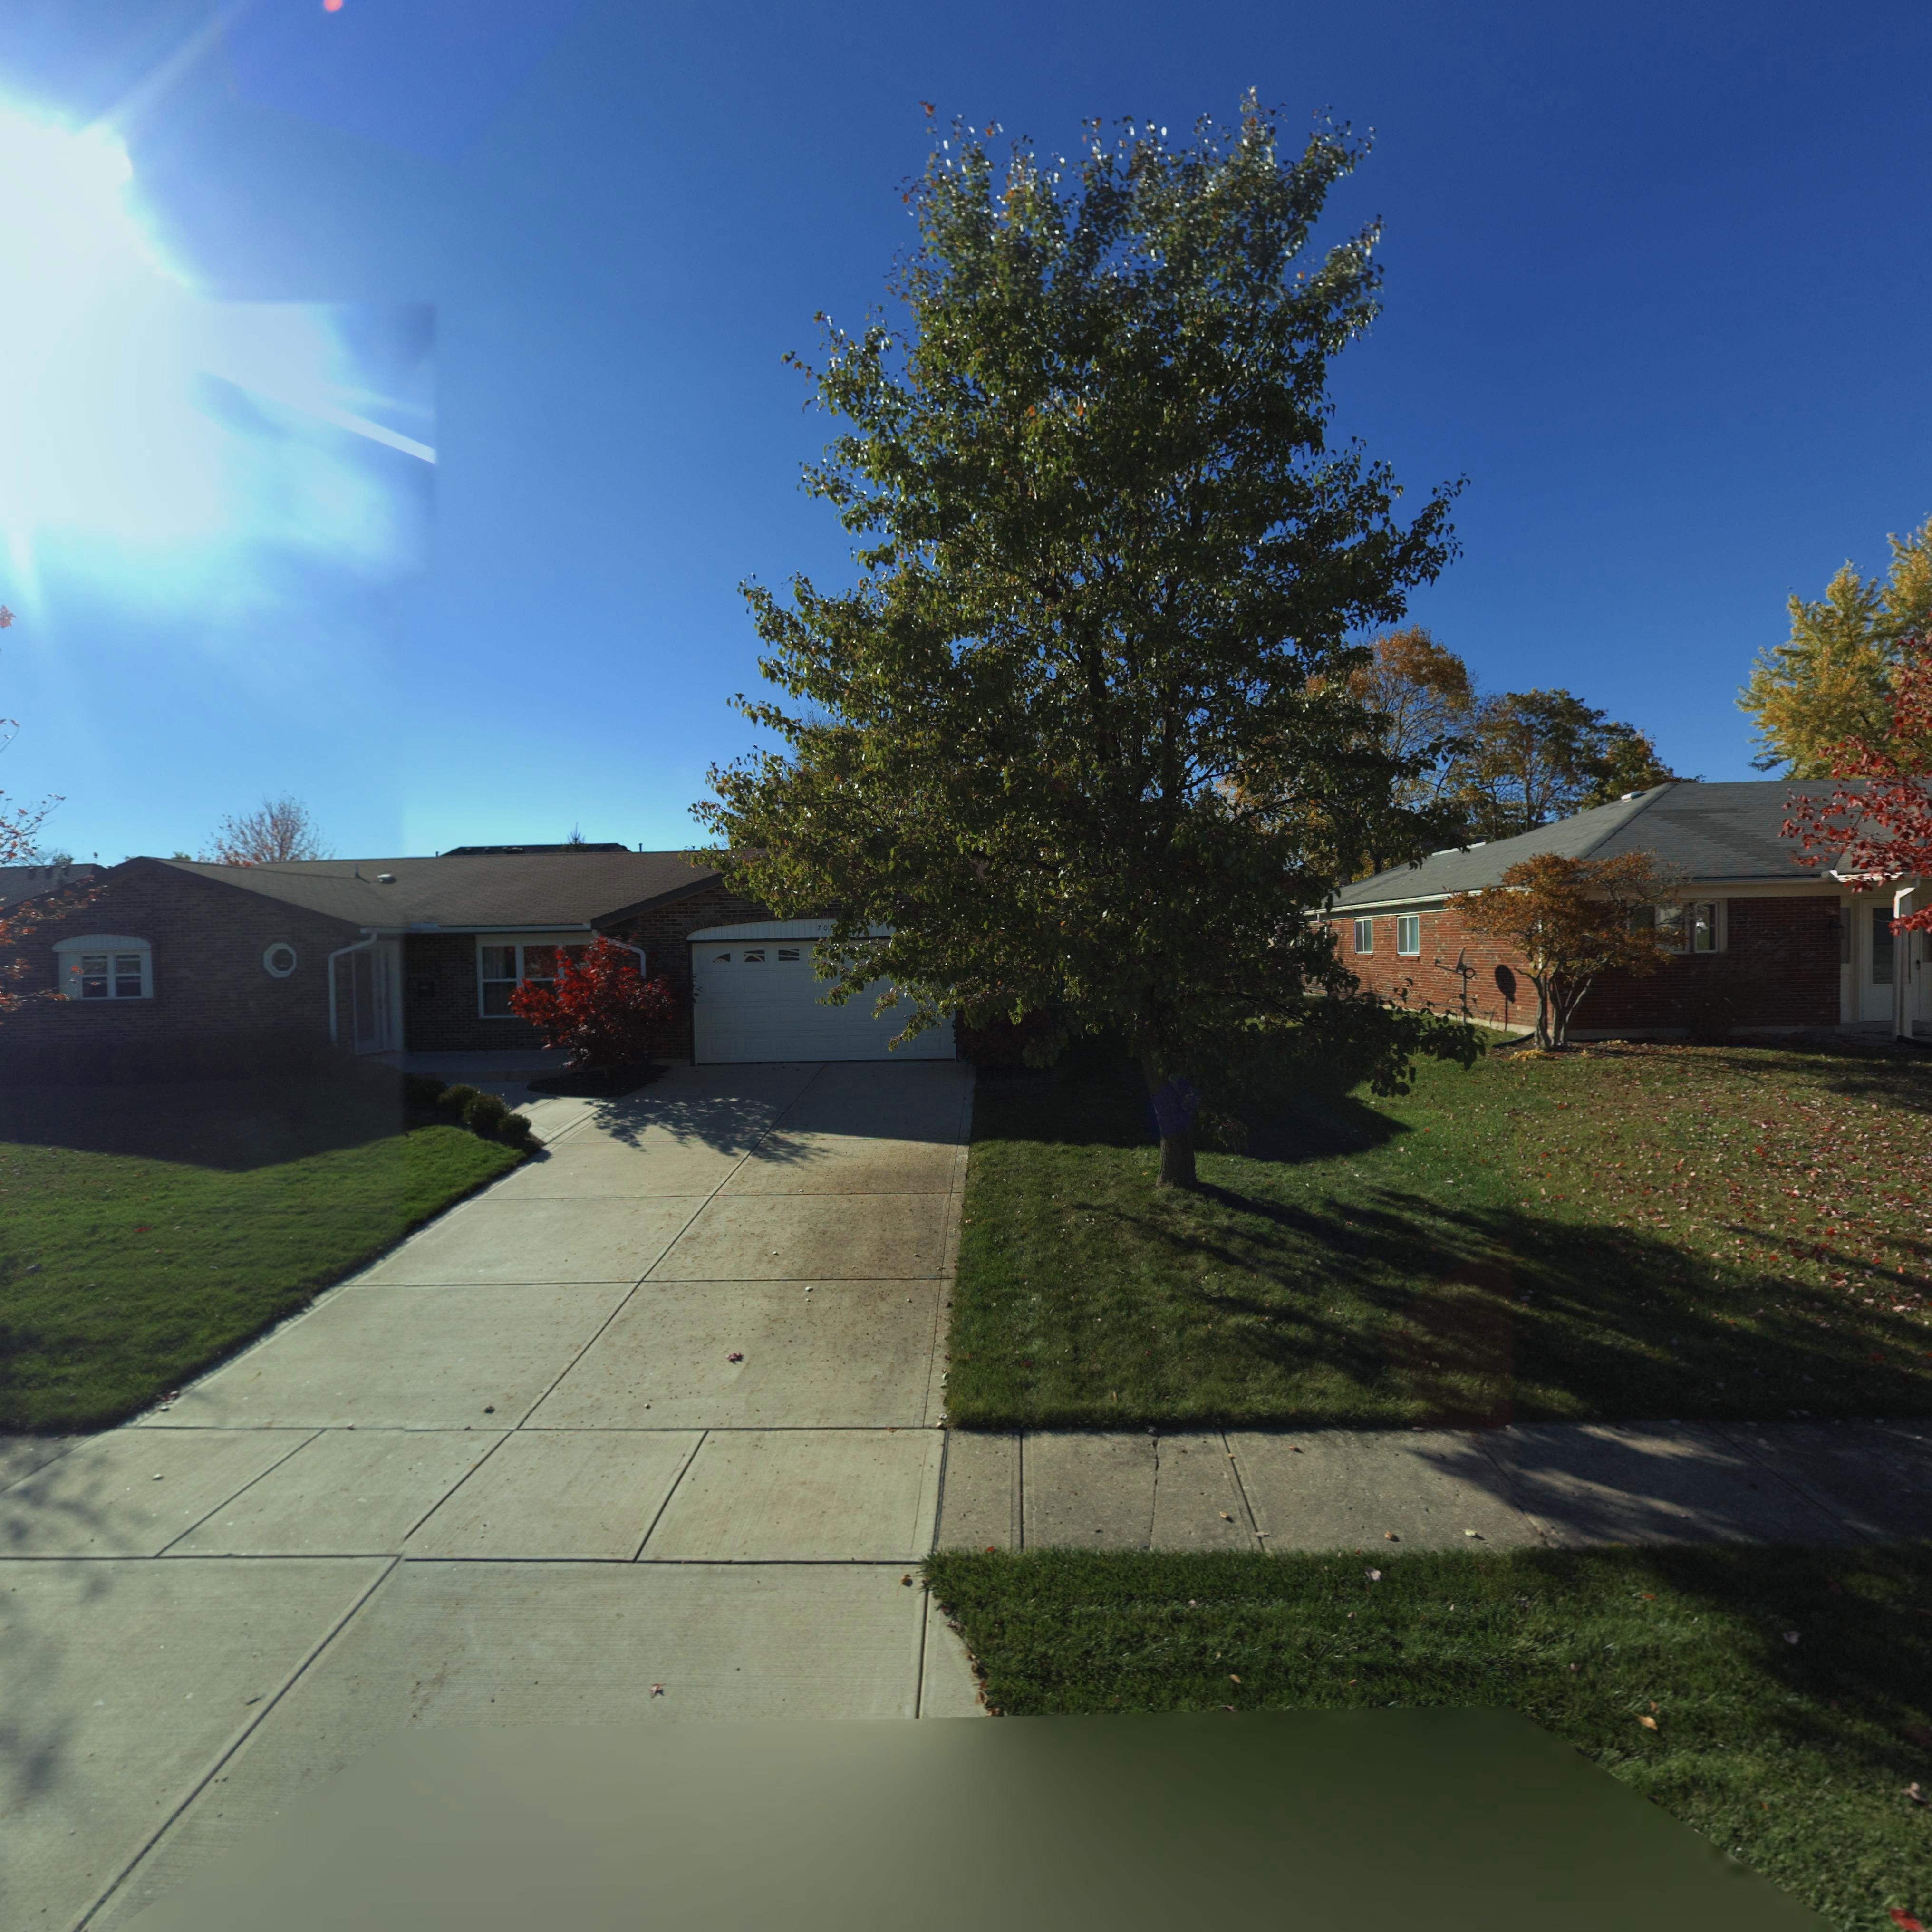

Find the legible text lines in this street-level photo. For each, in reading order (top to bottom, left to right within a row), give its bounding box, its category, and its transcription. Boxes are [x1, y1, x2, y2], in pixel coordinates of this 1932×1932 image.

[817, 924, 828, 931] StreetNumber: 70